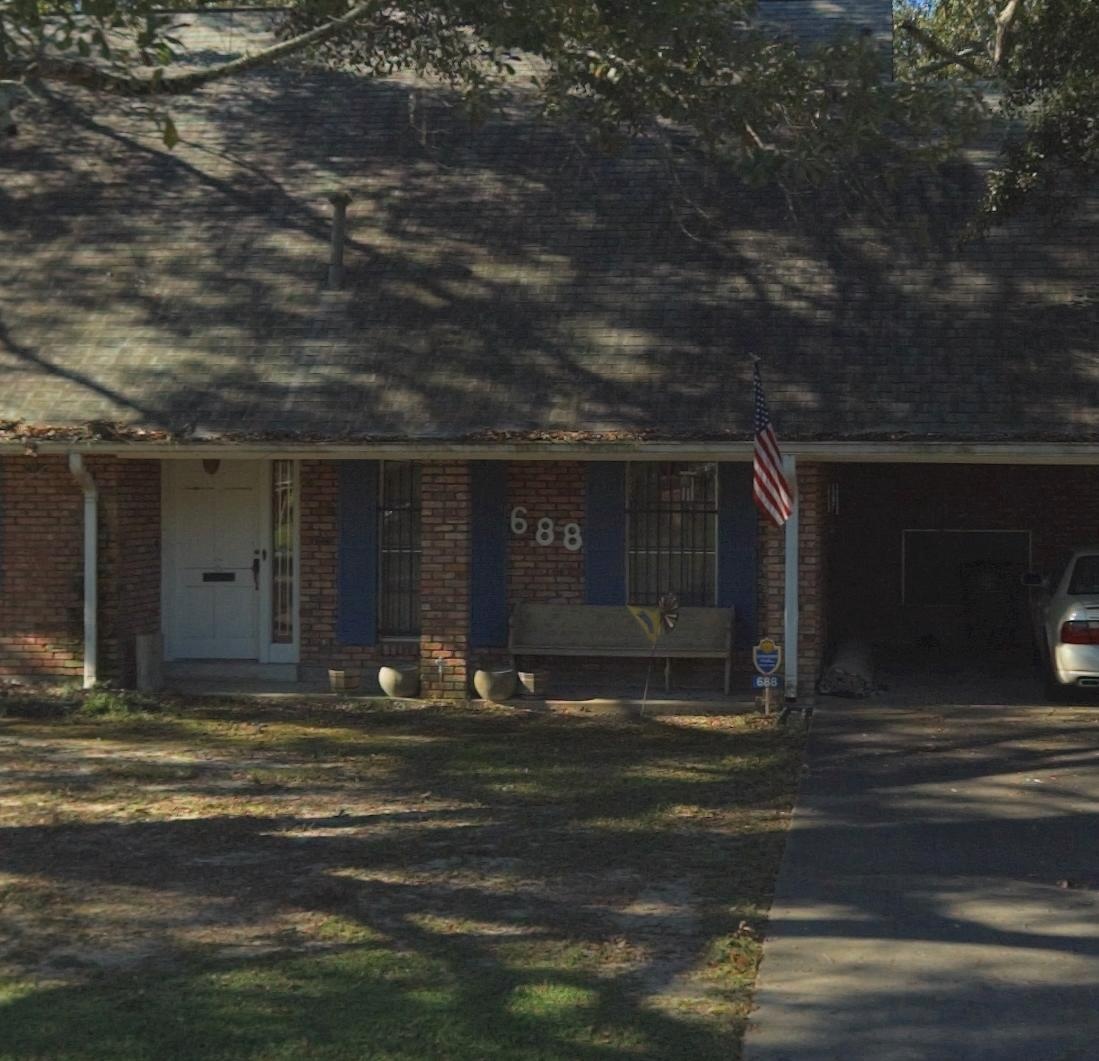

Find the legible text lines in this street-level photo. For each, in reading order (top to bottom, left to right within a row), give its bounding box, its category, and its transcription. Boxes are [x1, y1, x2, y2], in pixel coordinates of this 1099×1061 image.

[508, 503, 586, 555] StreetNumber: 688
[752, 674, 781, 690] StreetNumber: 688